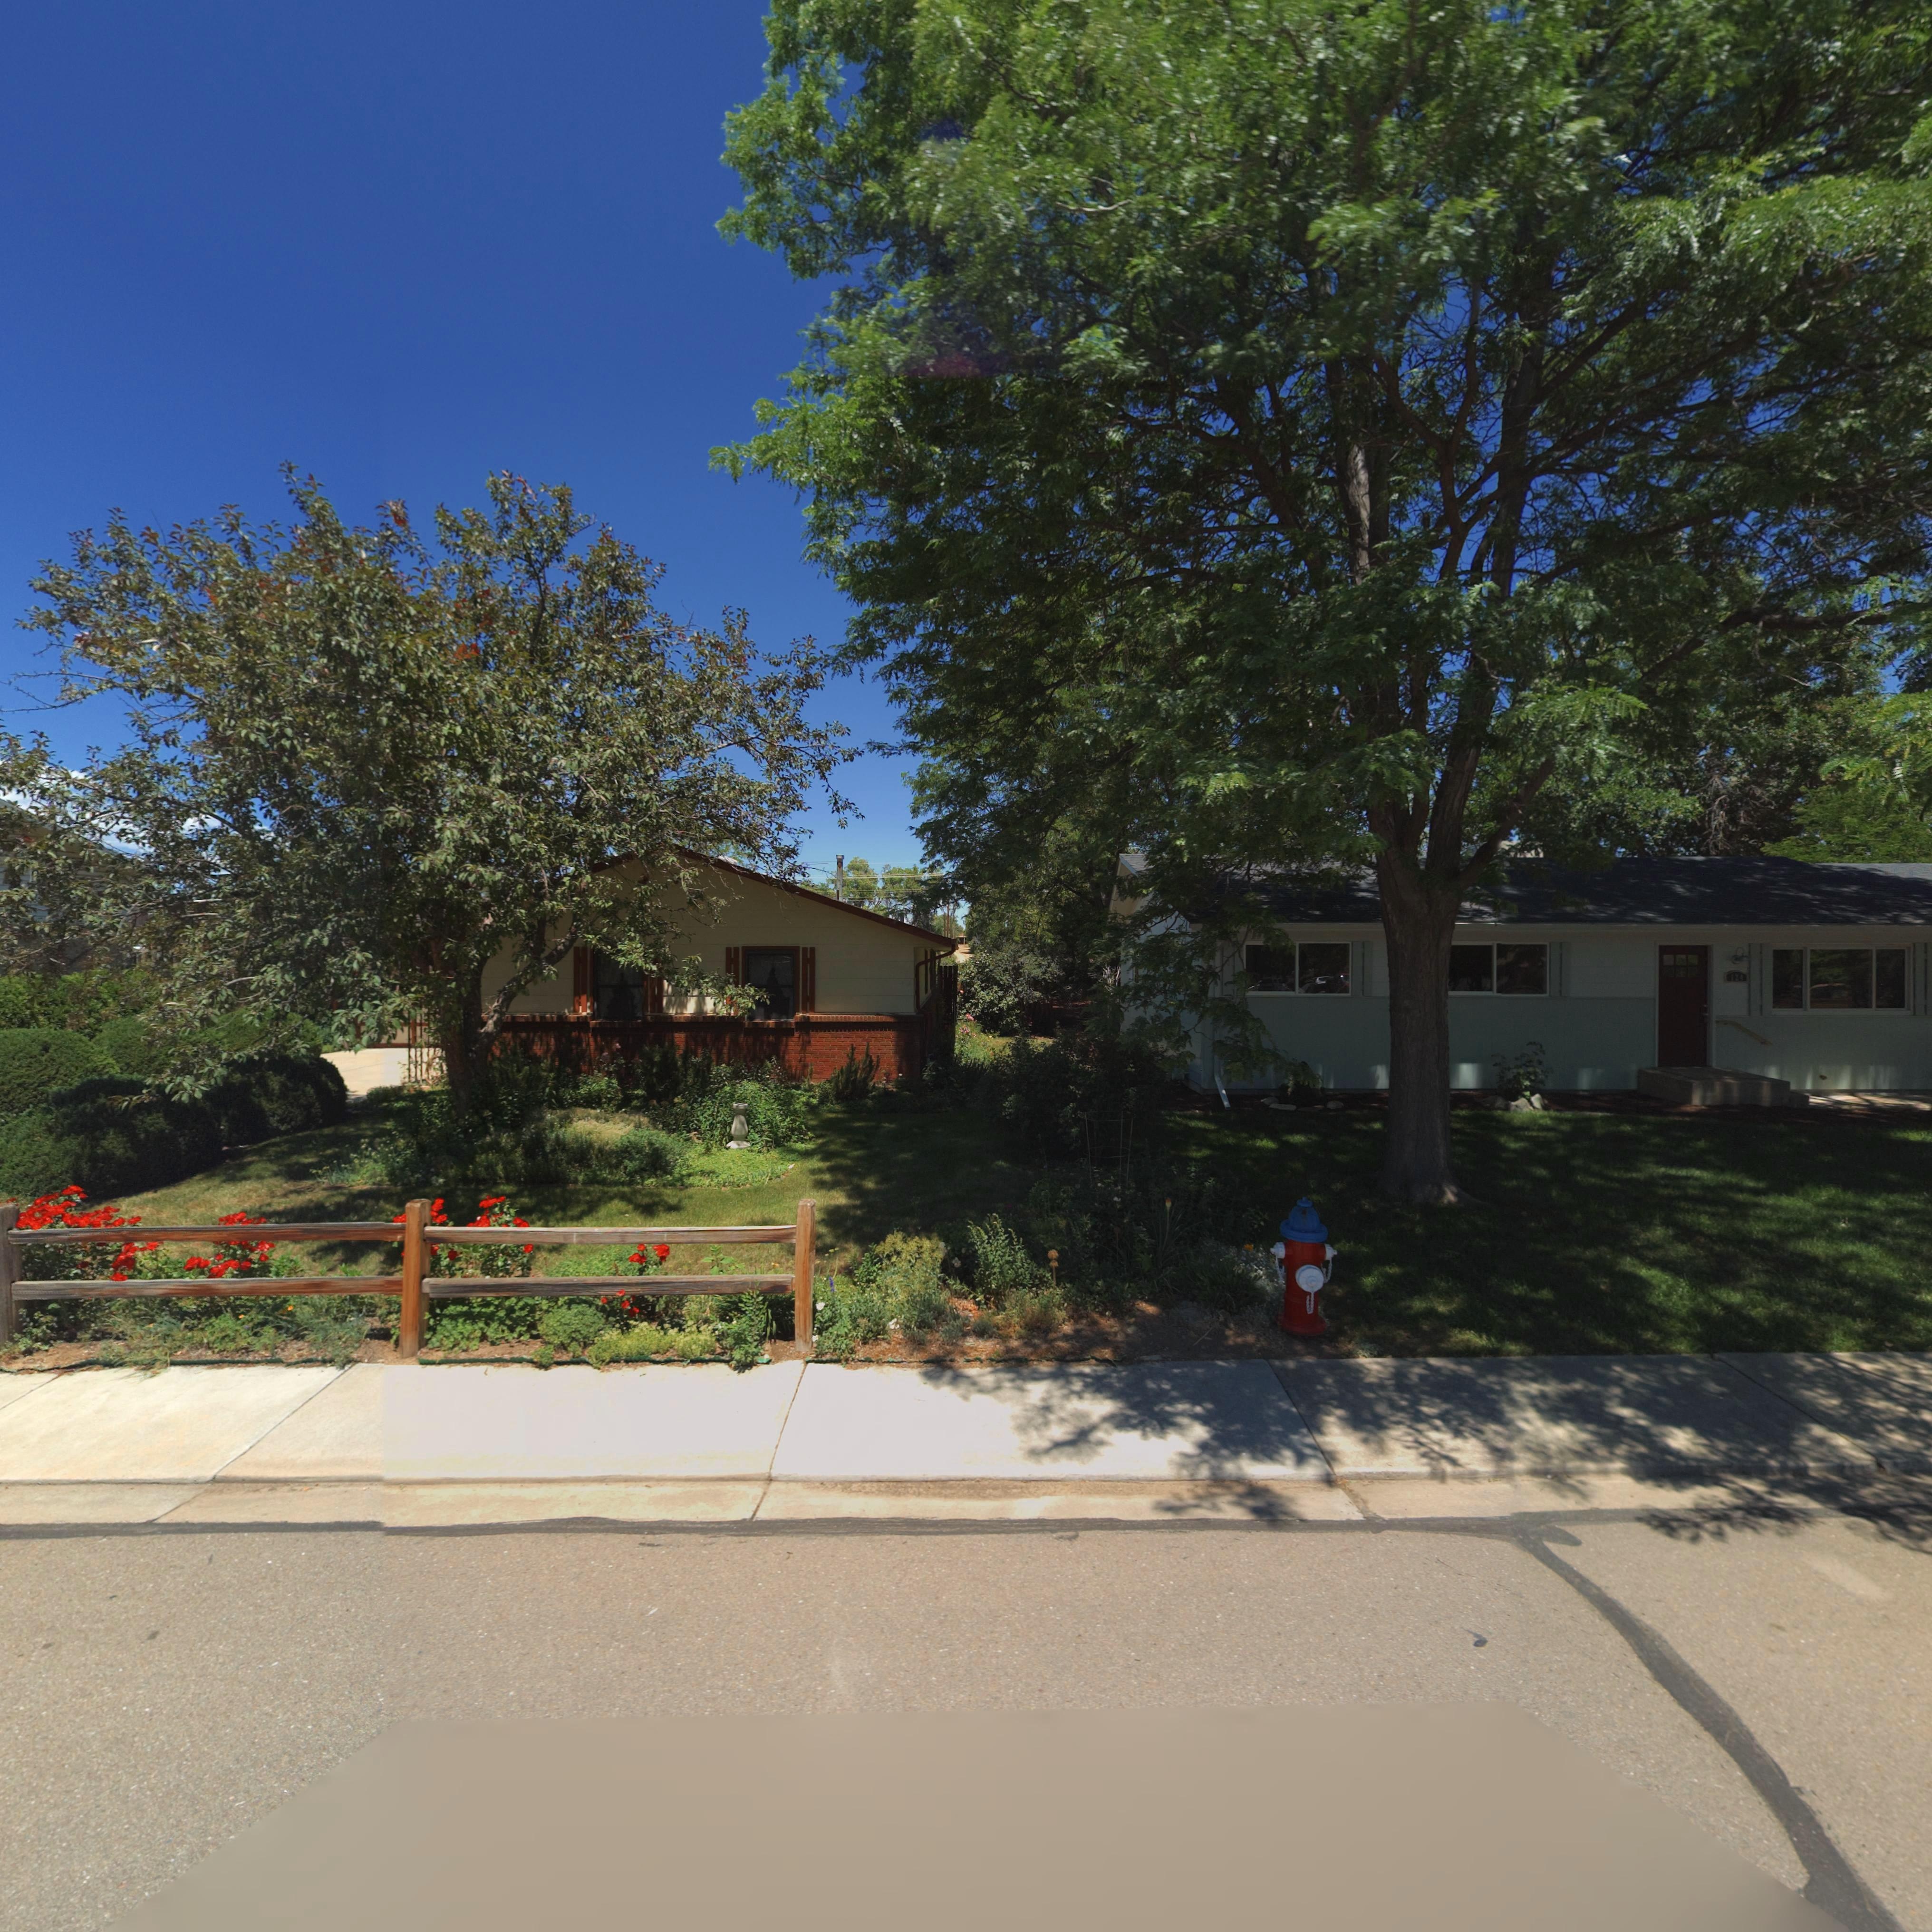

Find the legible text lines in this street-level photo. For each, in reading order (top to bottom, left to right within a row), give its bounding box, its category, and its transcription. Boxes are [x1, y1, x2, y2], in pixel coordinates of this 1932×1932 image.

[1730, 973, 1744, 981] StreetNumber: 124